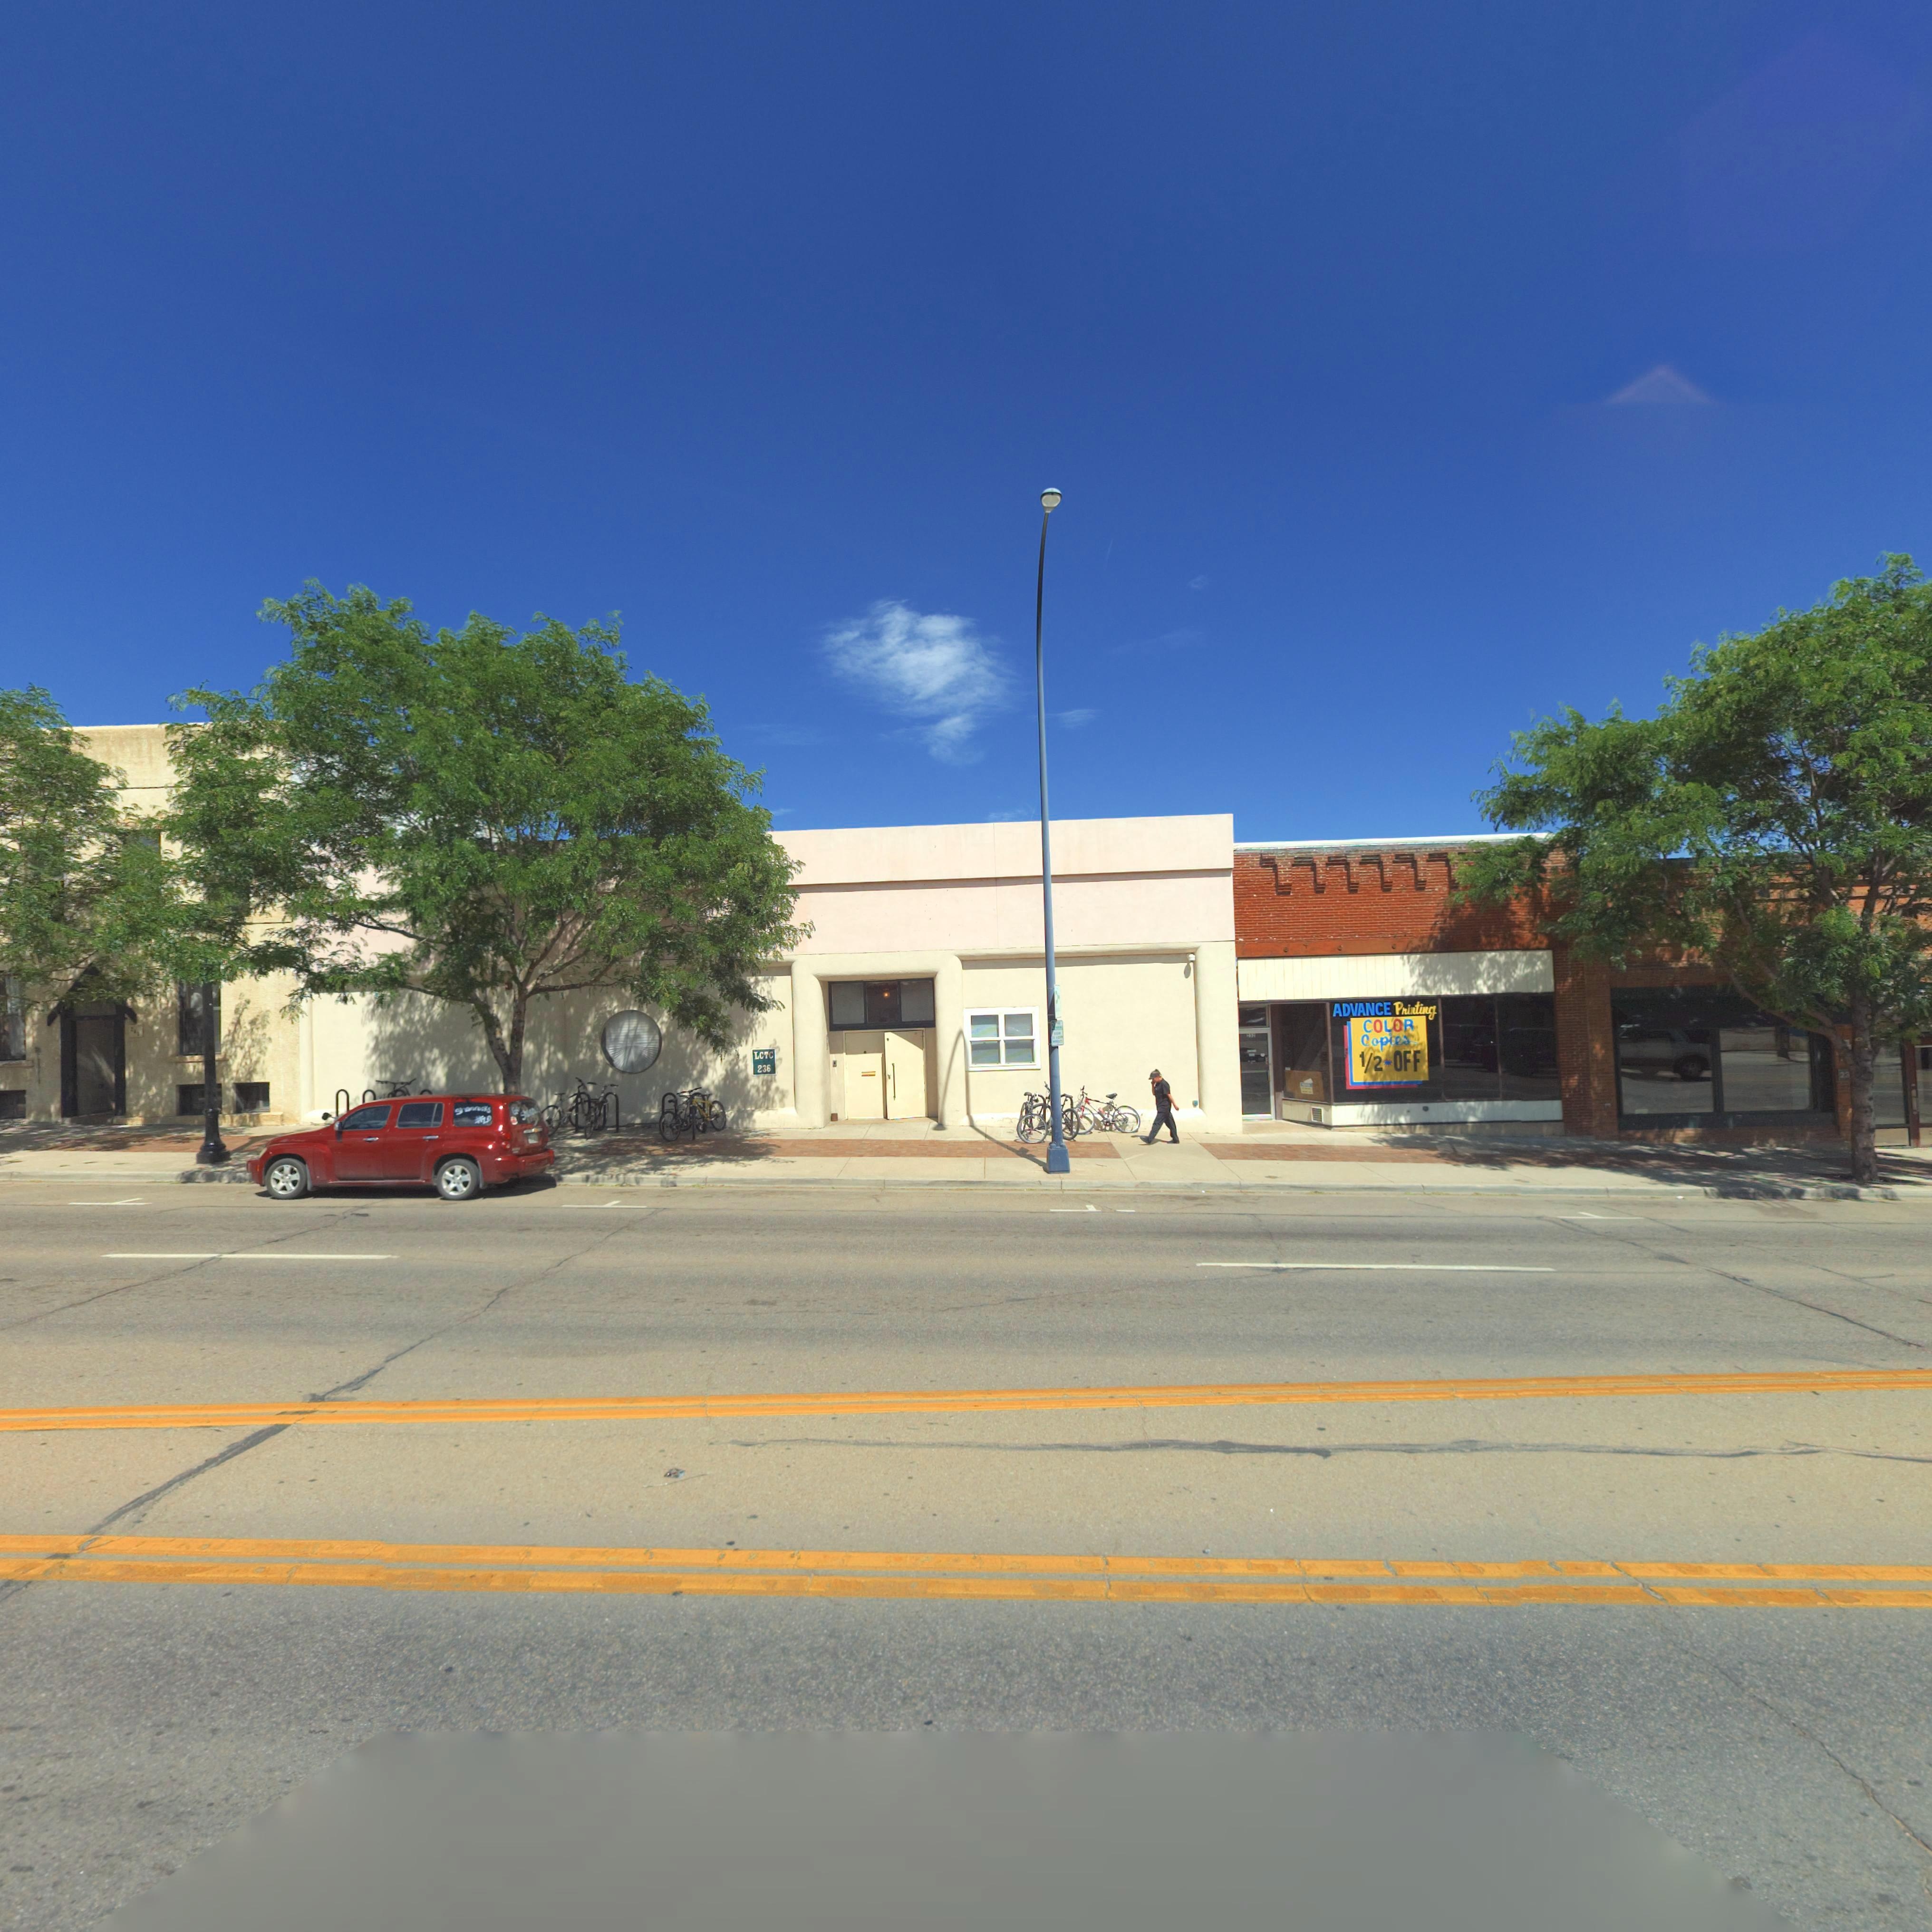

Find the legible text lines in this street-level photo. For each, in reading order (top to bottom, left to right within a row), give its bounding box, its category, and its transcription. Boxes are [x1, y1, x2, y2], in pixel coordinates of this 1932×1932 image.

[1332, 1000, 1437, 1021] BusinessName: ADVANCE Printing
[1246, 1033, 1255, 1037] StreetNumber: *32
[757, 1064, 771, 1072] StreetNumber: 236
[1839, 1071, 1850, 1079] StreetNumber: 23